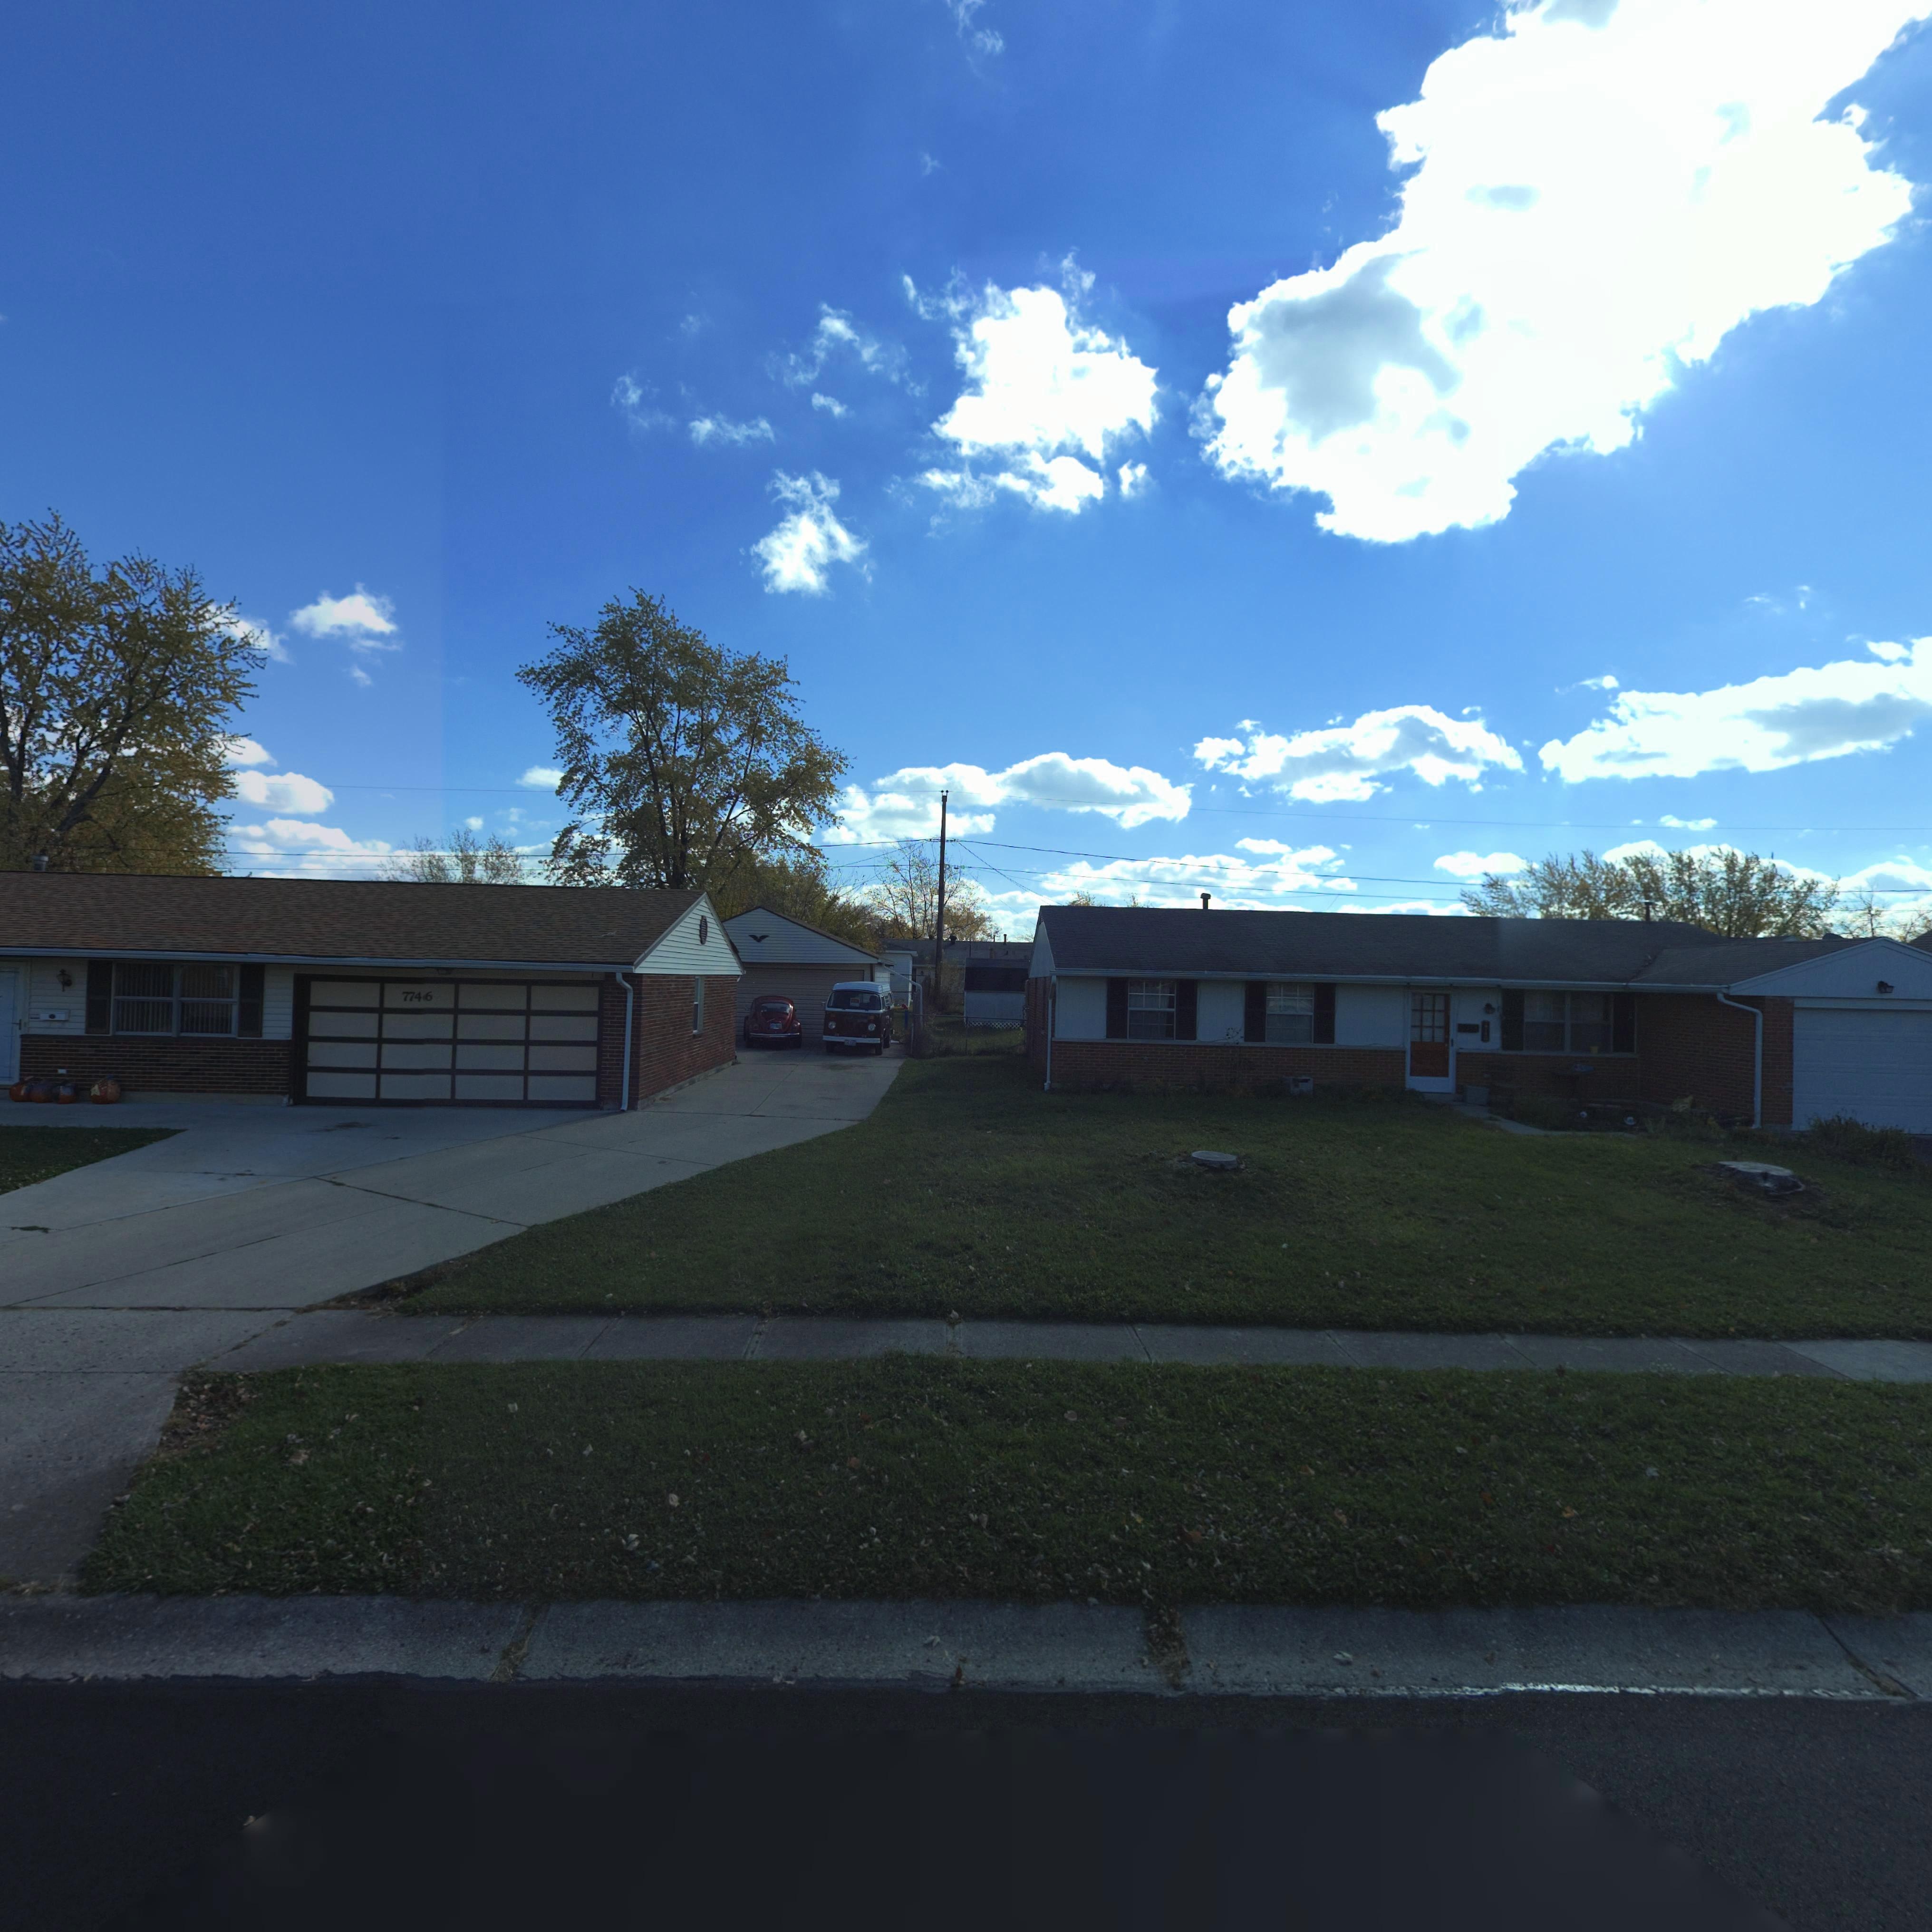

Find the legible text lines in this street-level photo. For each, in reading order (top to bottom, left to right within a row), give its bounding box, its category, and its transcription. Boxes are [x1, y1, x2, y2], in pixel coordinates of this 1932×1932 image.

[401, 990, 433, 1002] StreetNumber: 774*6
[1482, 1020, 1489, 1043] StreetNumber: 77**